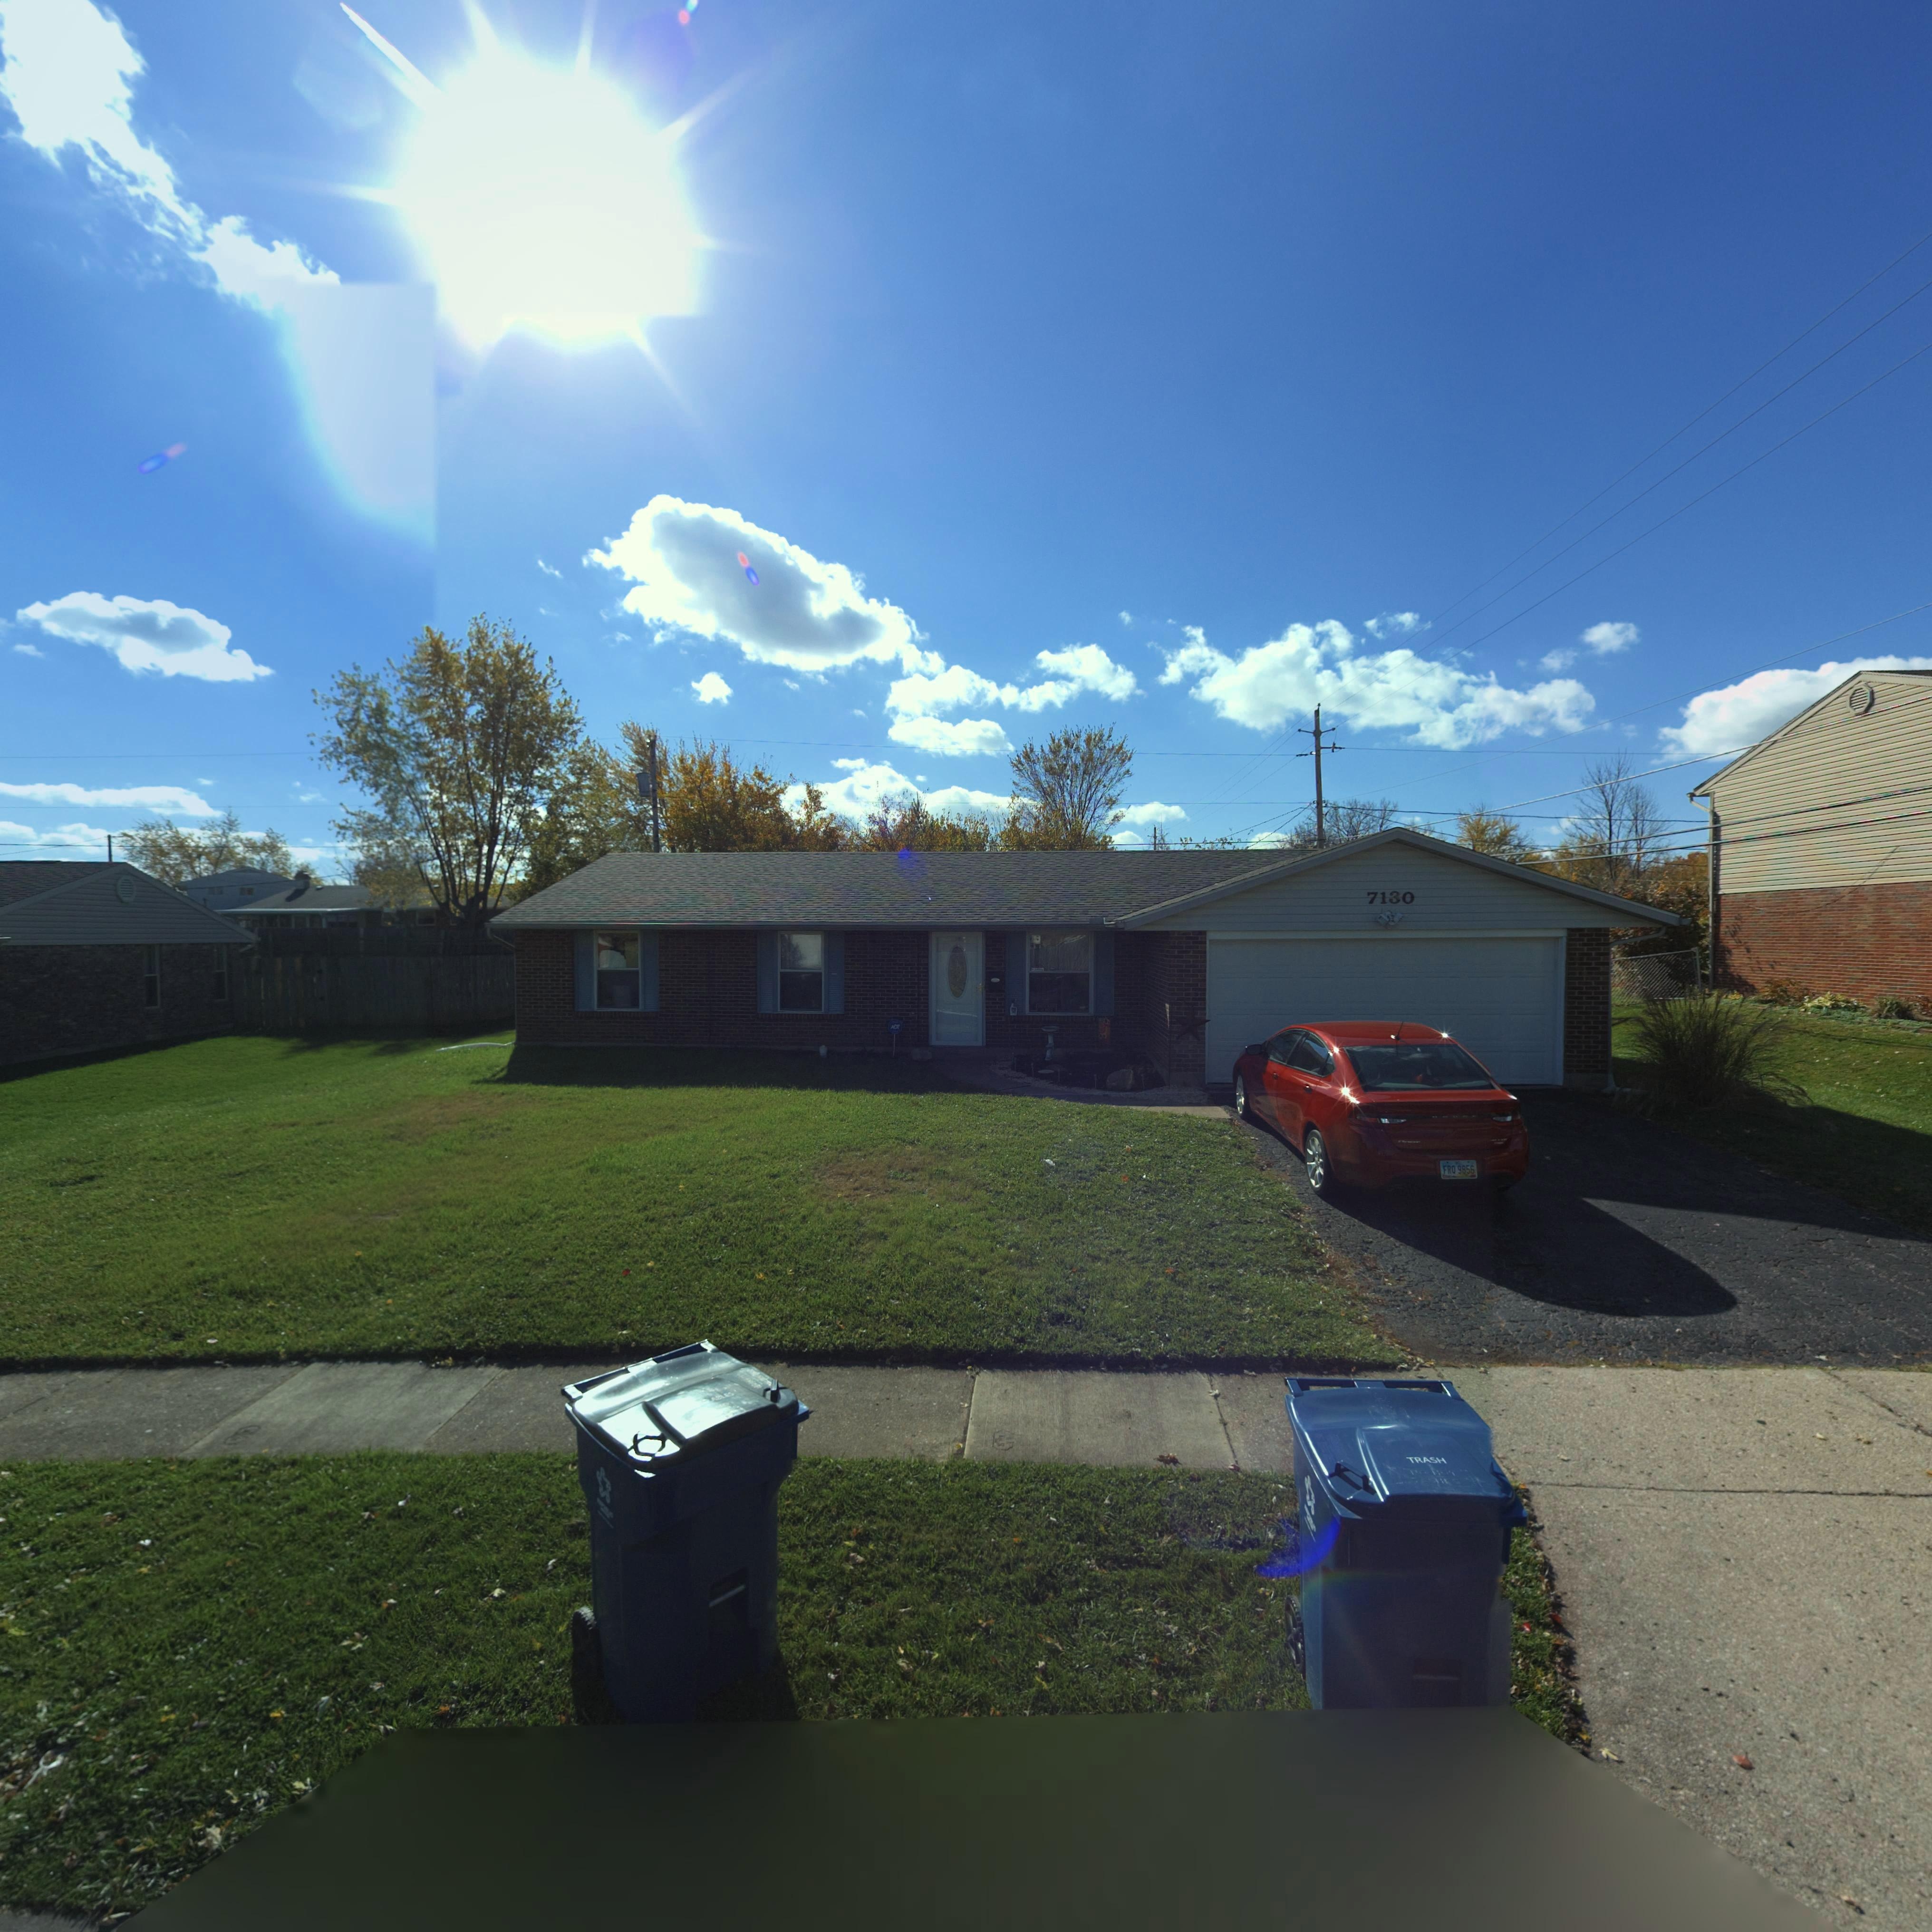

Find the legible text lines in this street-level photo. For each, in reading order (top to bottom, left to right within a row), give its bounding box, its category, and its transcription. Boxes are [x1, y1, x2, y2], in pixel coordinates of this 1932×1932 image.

[1366, 890, 1416, 906] StreetNumber: 7130